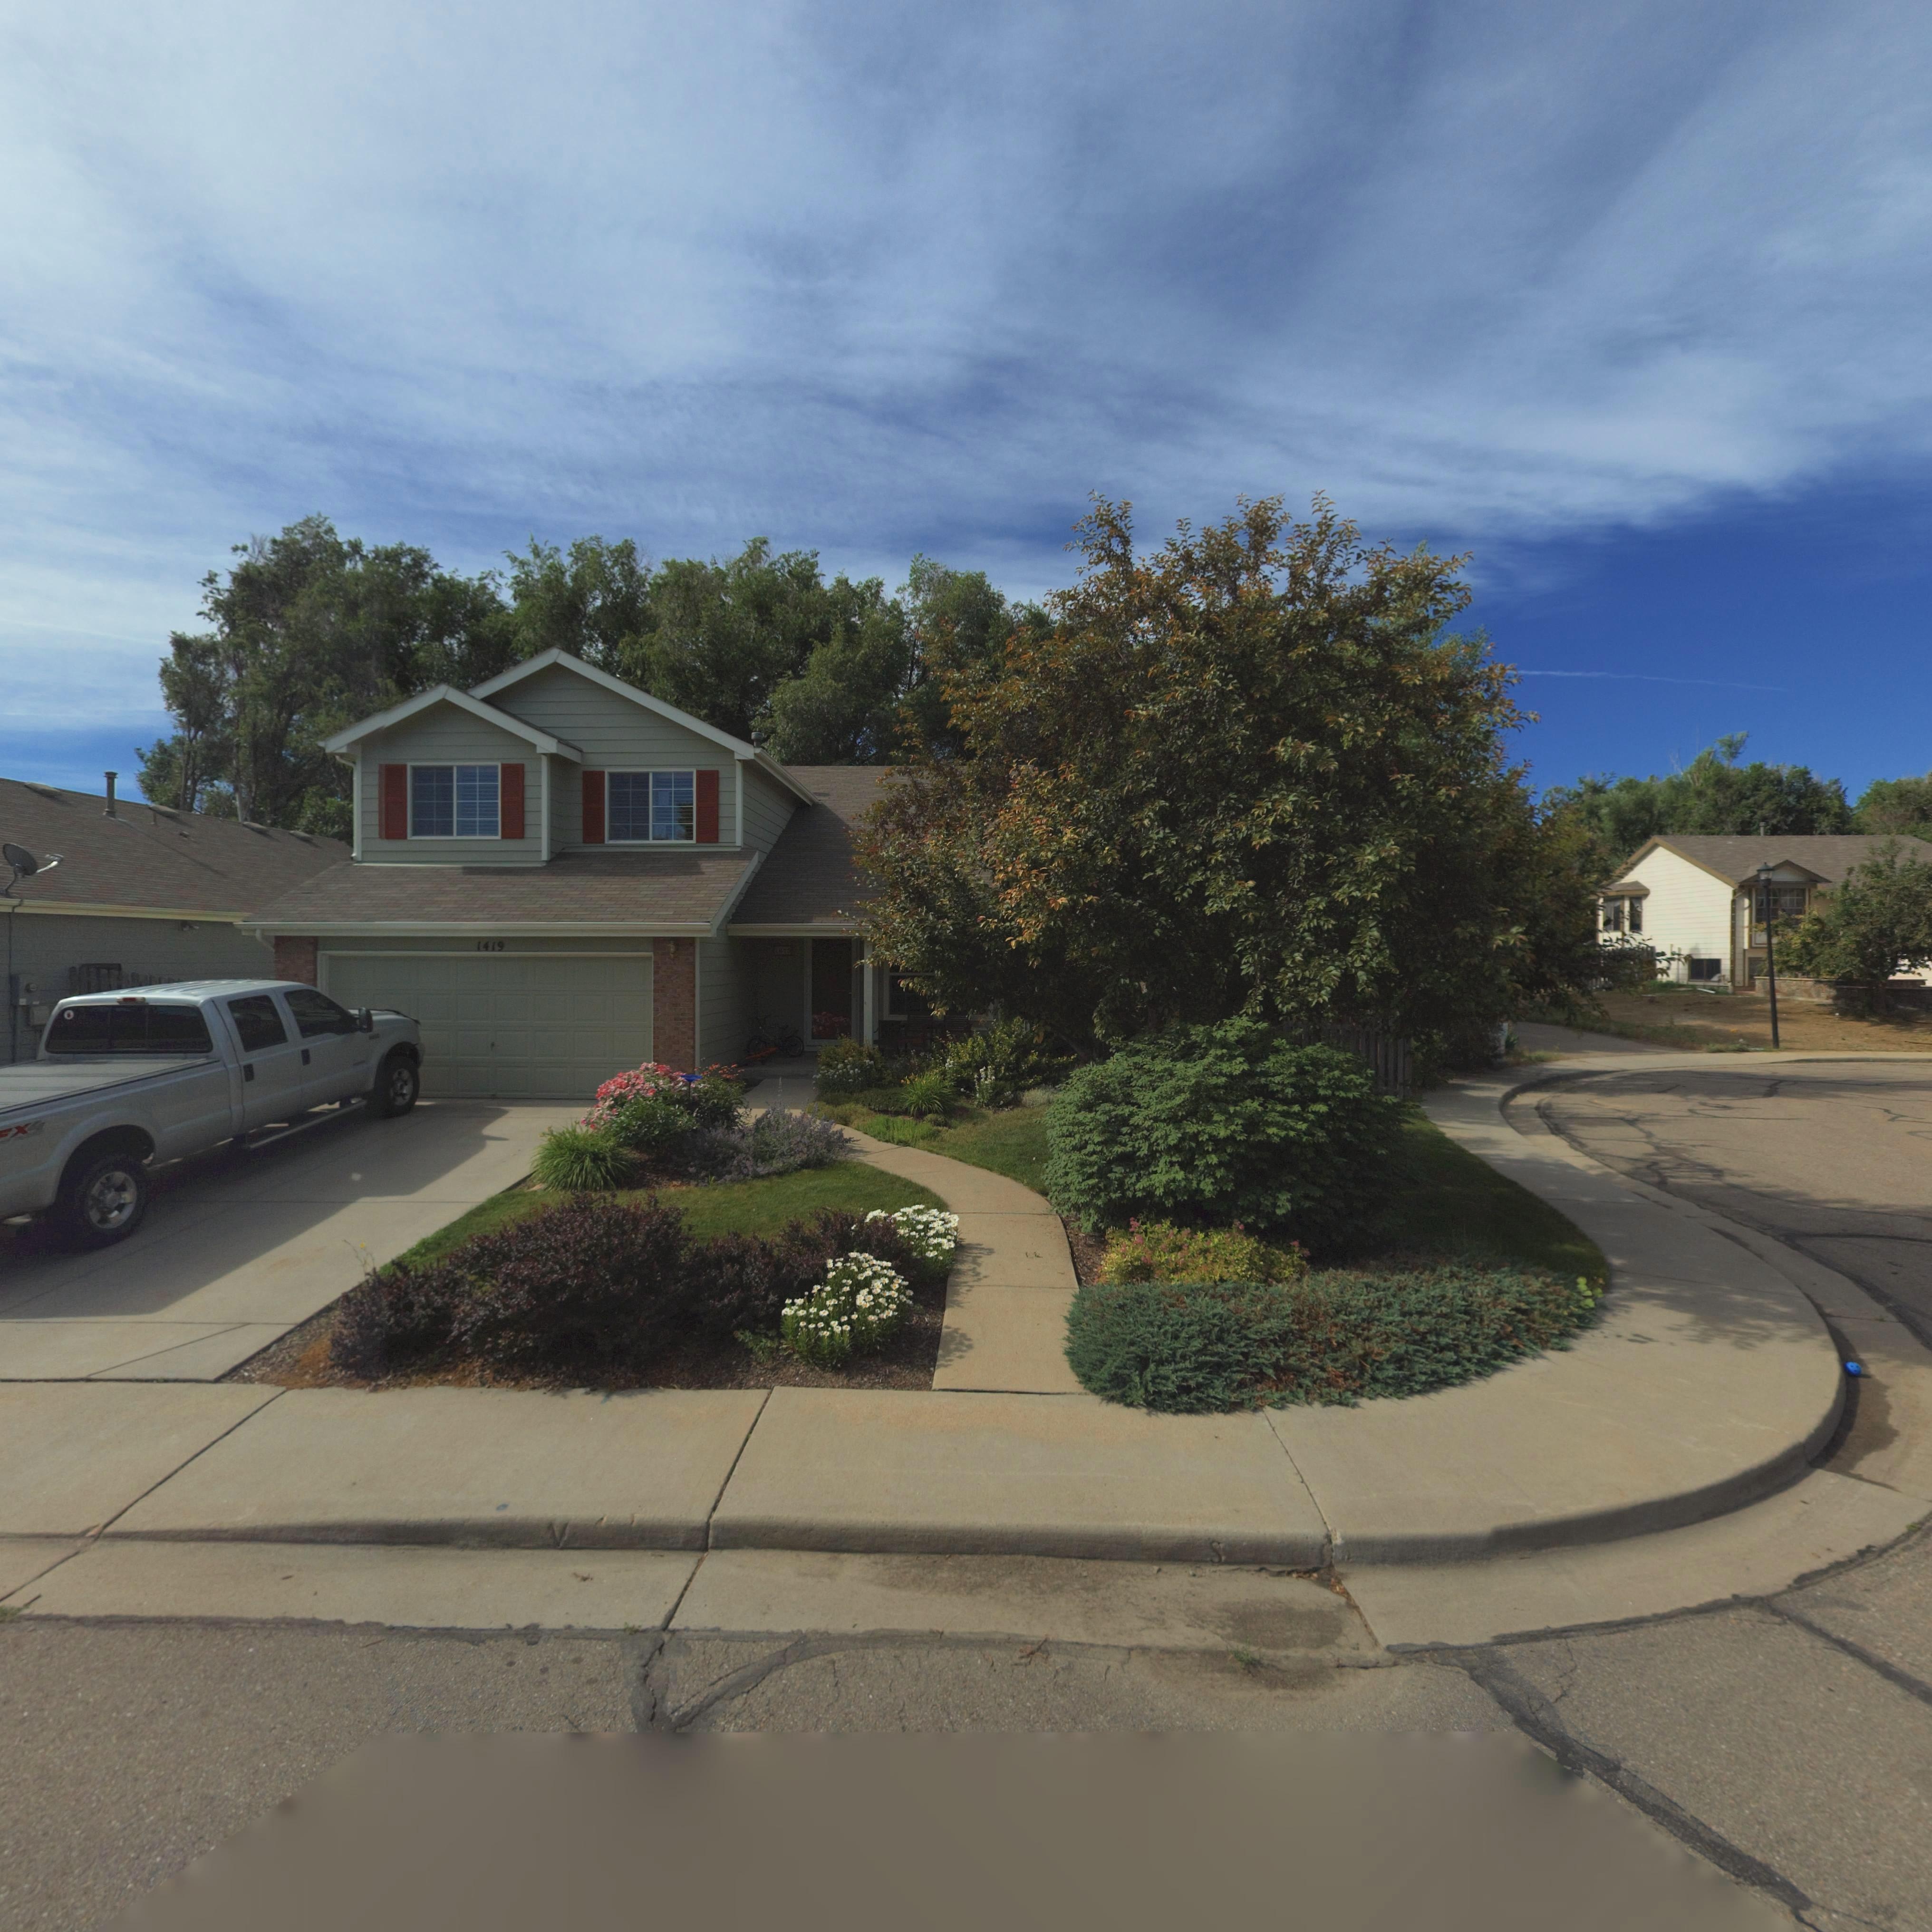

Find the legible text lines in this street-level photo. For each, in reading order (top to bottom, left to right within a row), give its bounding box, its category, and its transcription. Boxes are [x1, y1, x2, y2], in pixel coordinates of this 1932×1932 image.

[475, 939, 504, 951] StreetNumber: 1419